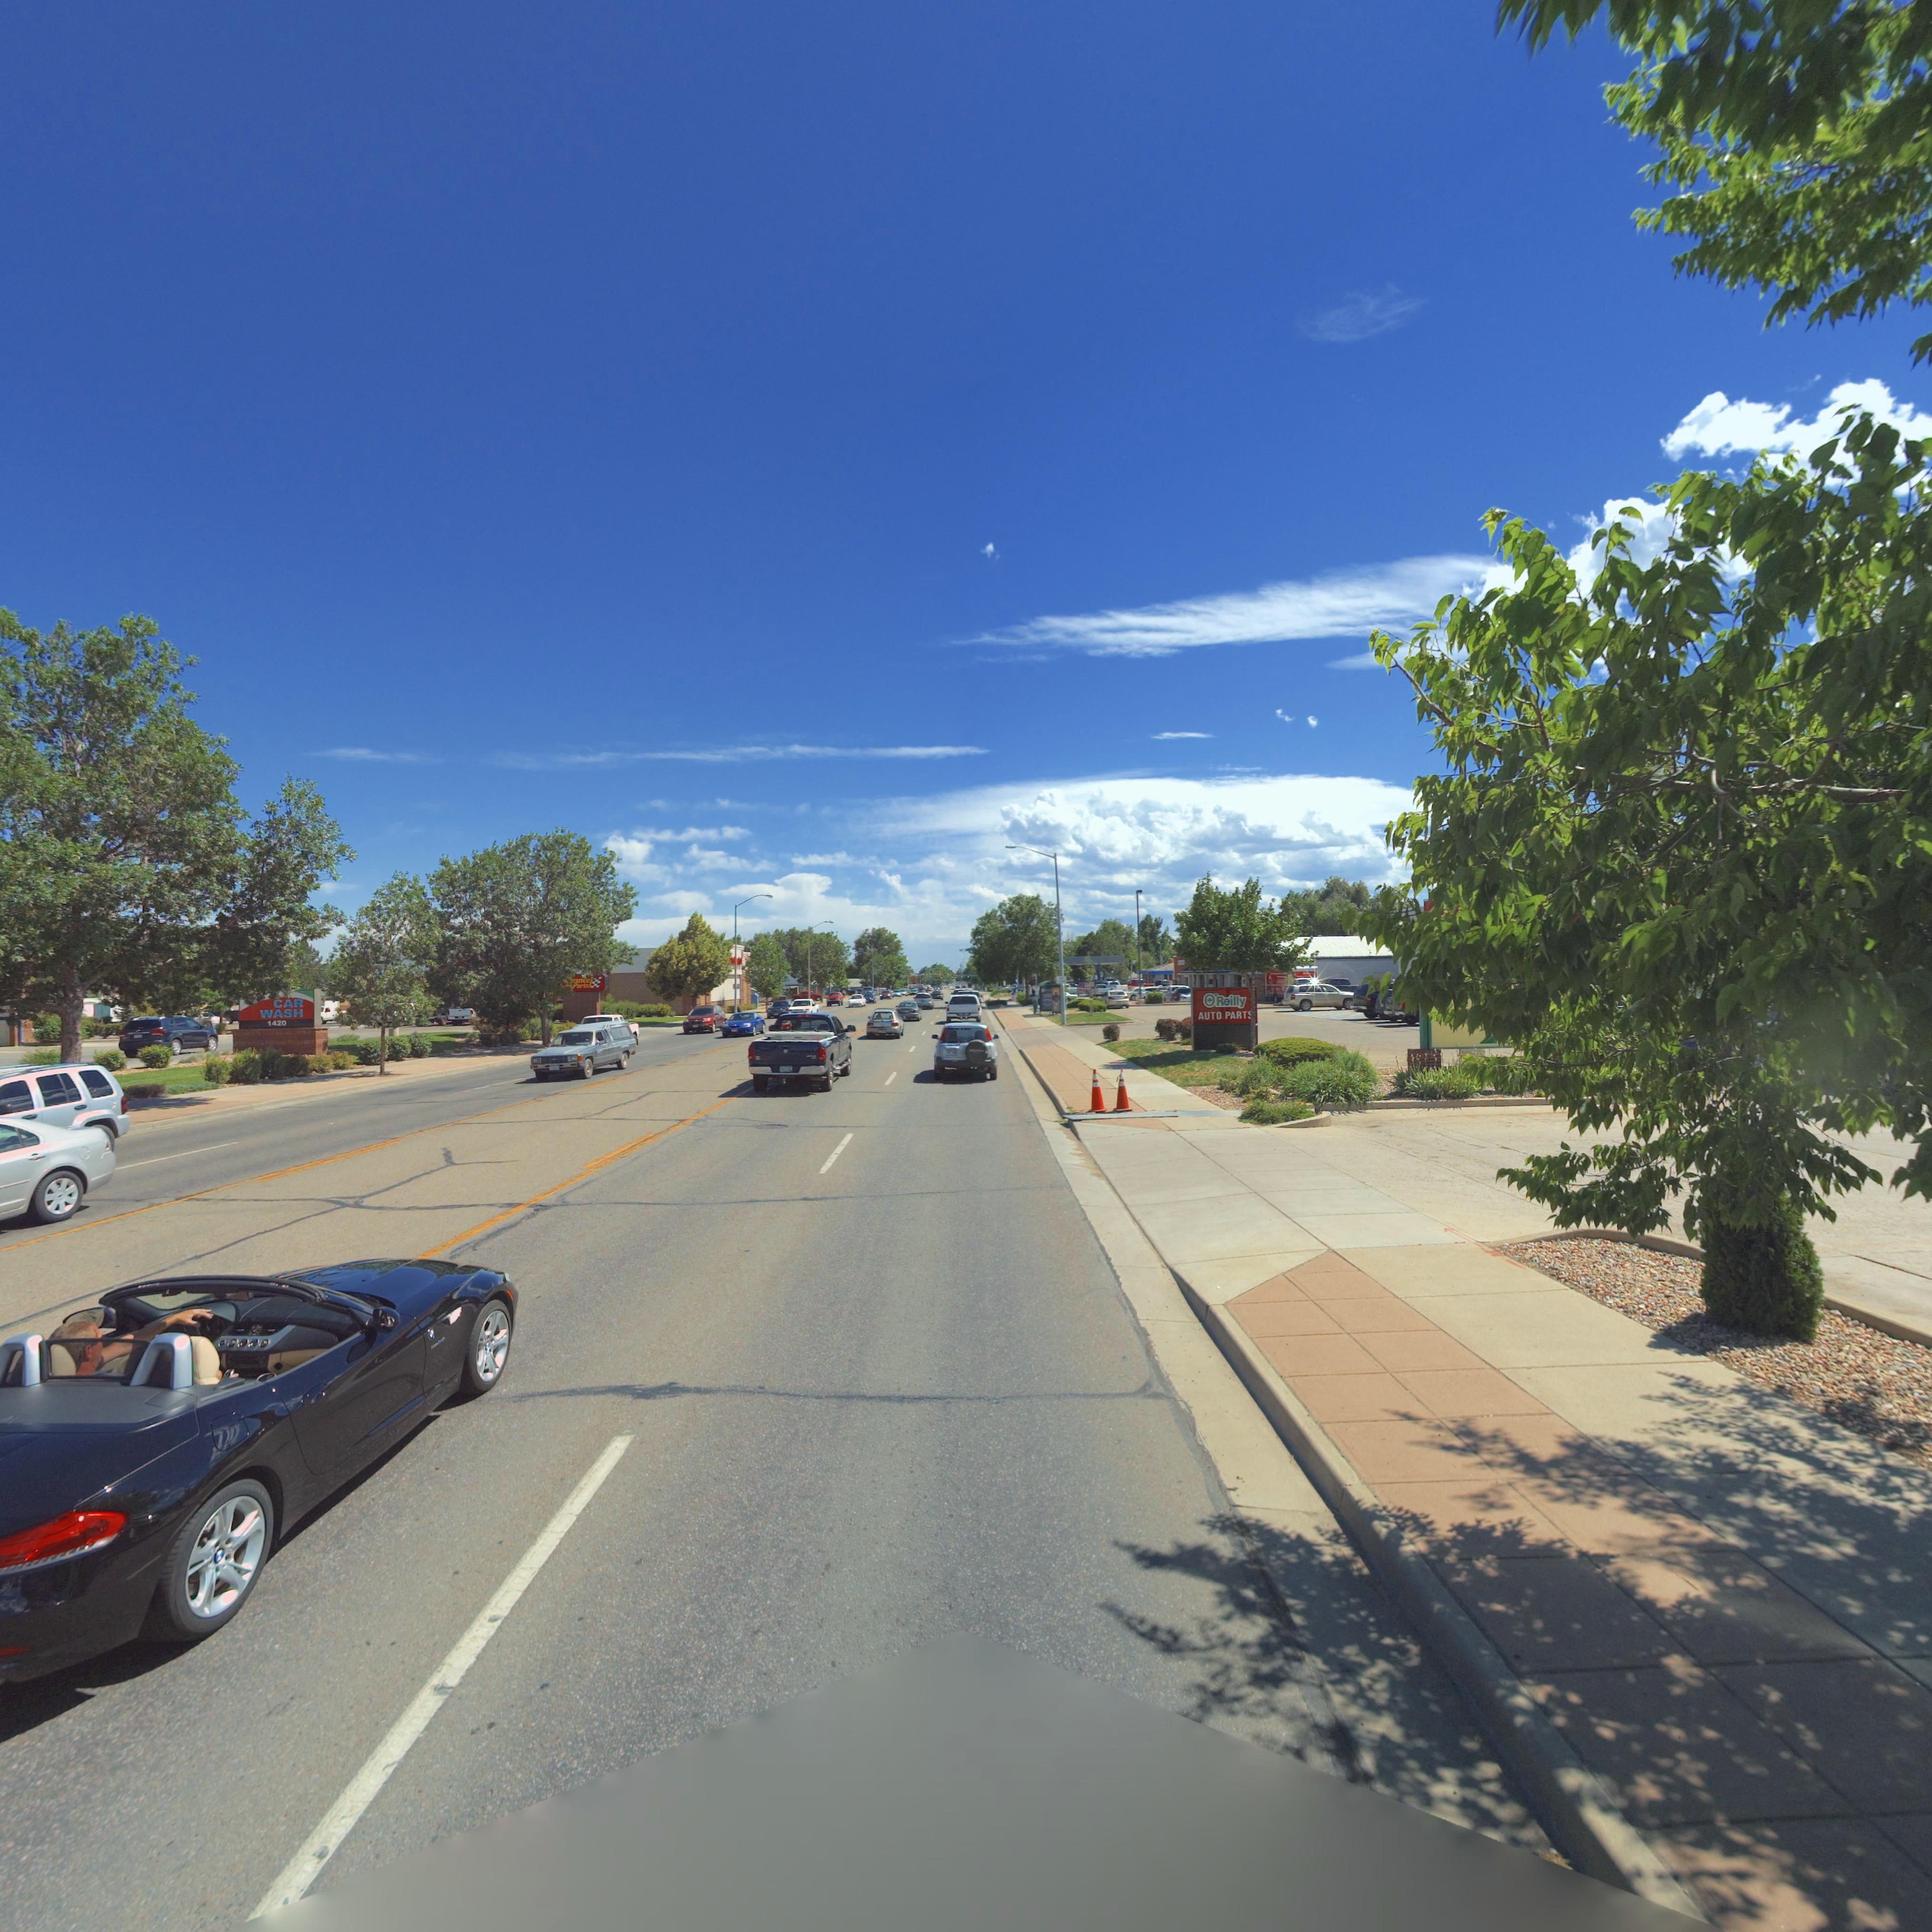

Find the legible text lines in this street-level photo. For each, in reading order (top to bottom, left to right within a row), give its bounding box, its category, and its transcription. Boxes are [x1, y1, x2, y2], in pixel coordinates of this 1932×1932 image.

[562, 978, 590, 982] BusinessName: ***vance
[559, 983, 589, 987] BusinessName: ****Parts
[1204, 993, 1246, 1007] BusinessName: O'Reilly
[1198, 1010, 1252, 1020] BusinessName: AUTO PARTS
[267, 1020, 286, 1026] StreetNumber: 1420